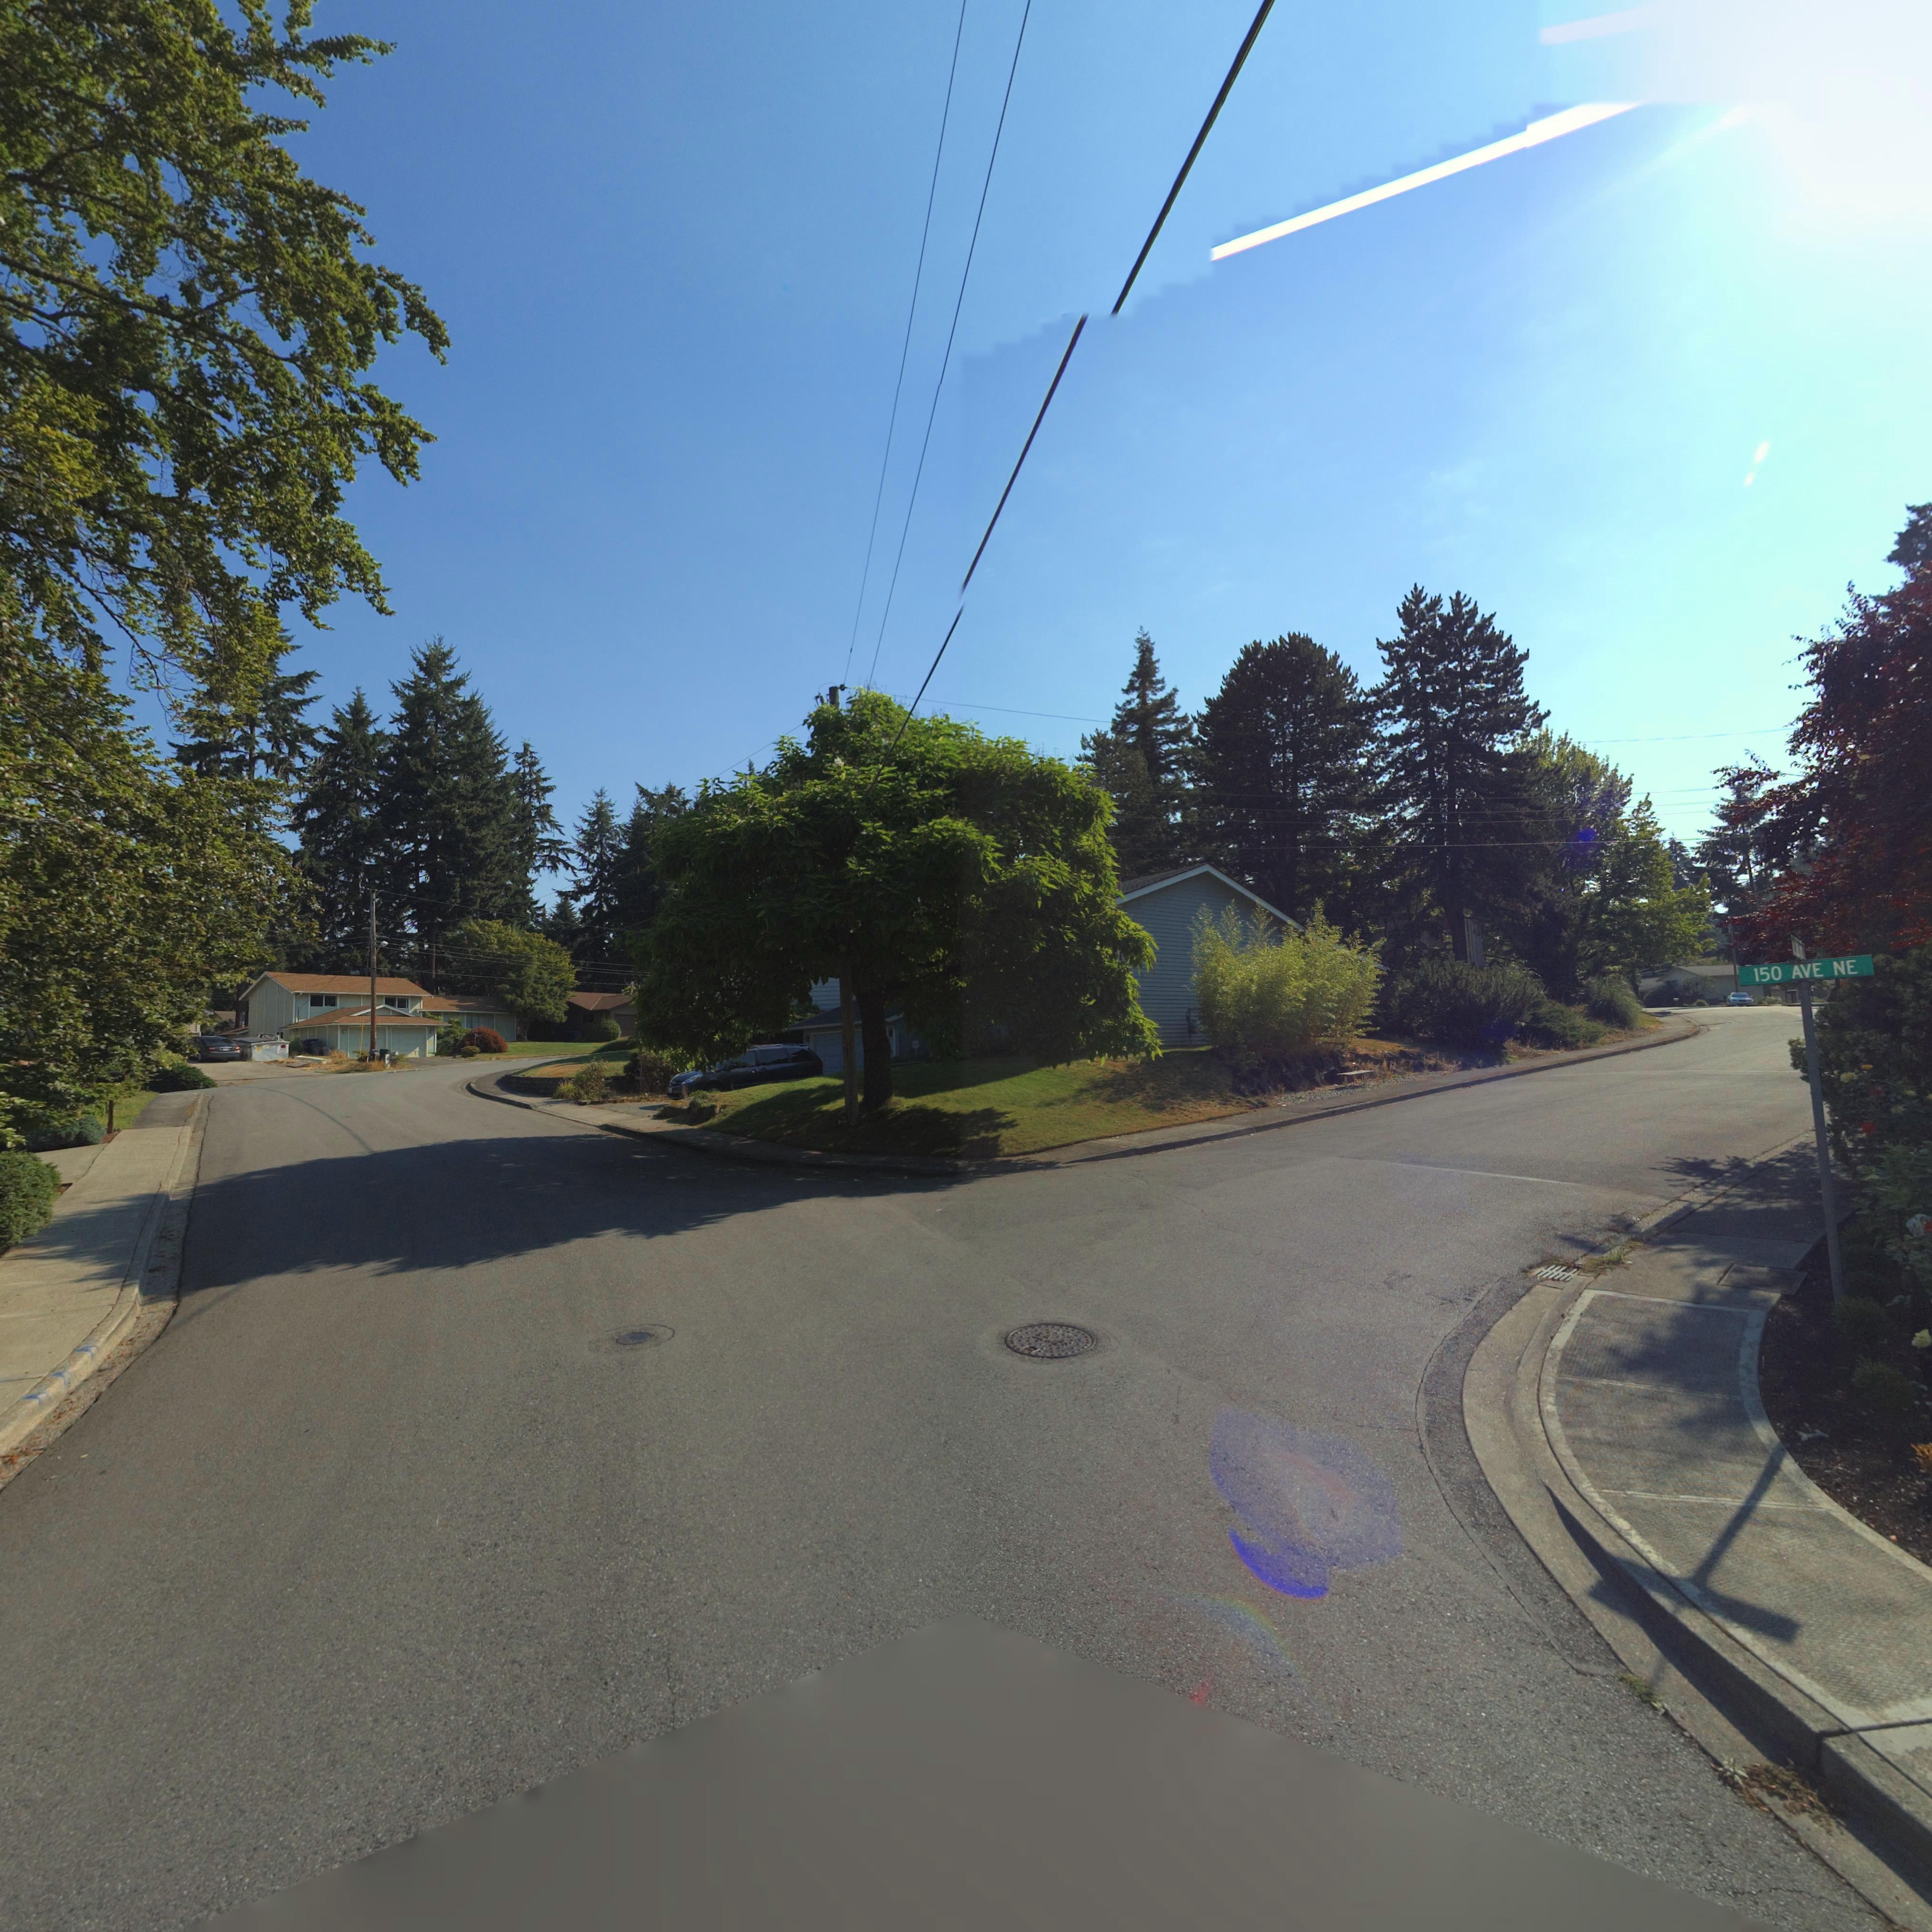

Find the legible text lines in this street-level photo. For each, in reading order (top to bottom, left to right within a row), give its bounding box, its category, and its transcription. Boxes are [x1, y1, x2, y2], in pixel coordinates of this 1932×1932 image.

[1753, 959, 1858, 982] StreetName: 150 AVE NE